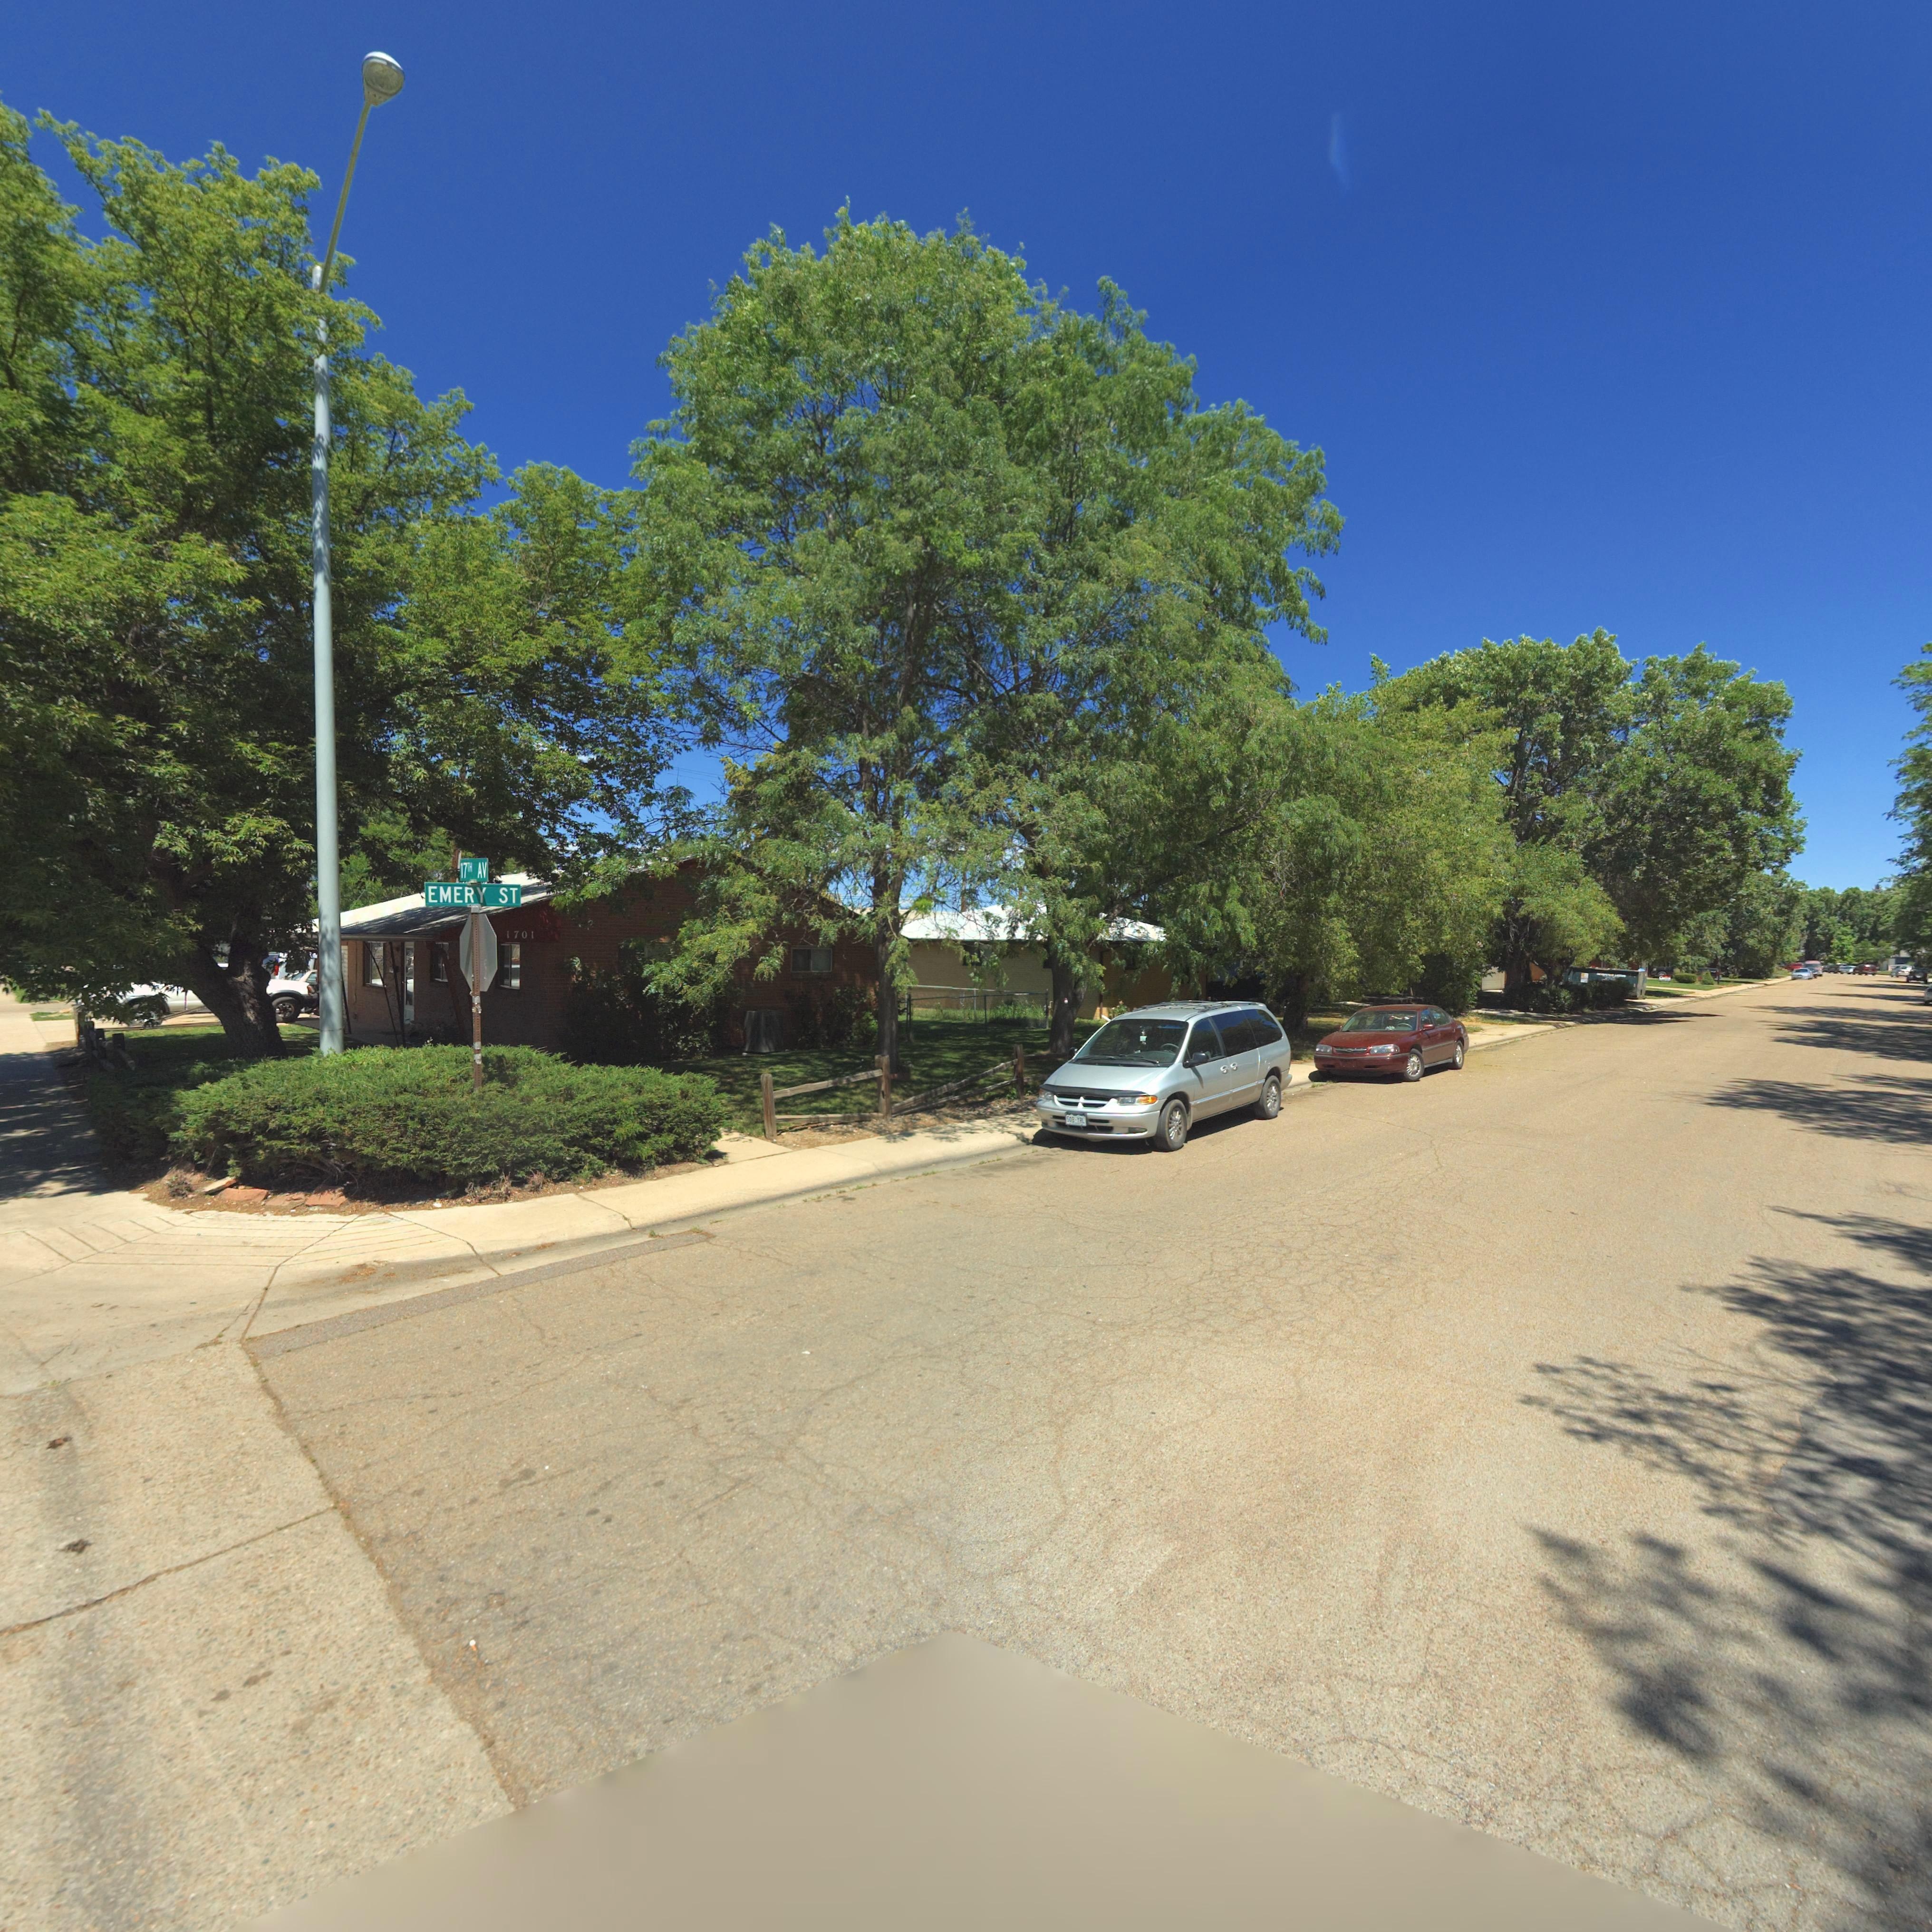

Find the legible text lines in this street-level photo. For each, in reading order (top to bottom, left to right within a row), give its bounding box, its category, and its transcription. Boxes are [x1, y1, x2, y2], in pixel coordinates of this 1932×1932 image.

[460, 861, 487, 879] StreetName: 17TH AV
[427, 885, 518, 904] StreetName: EMERY ST
[506, 930, 534, 939] StreetNumber: 1701